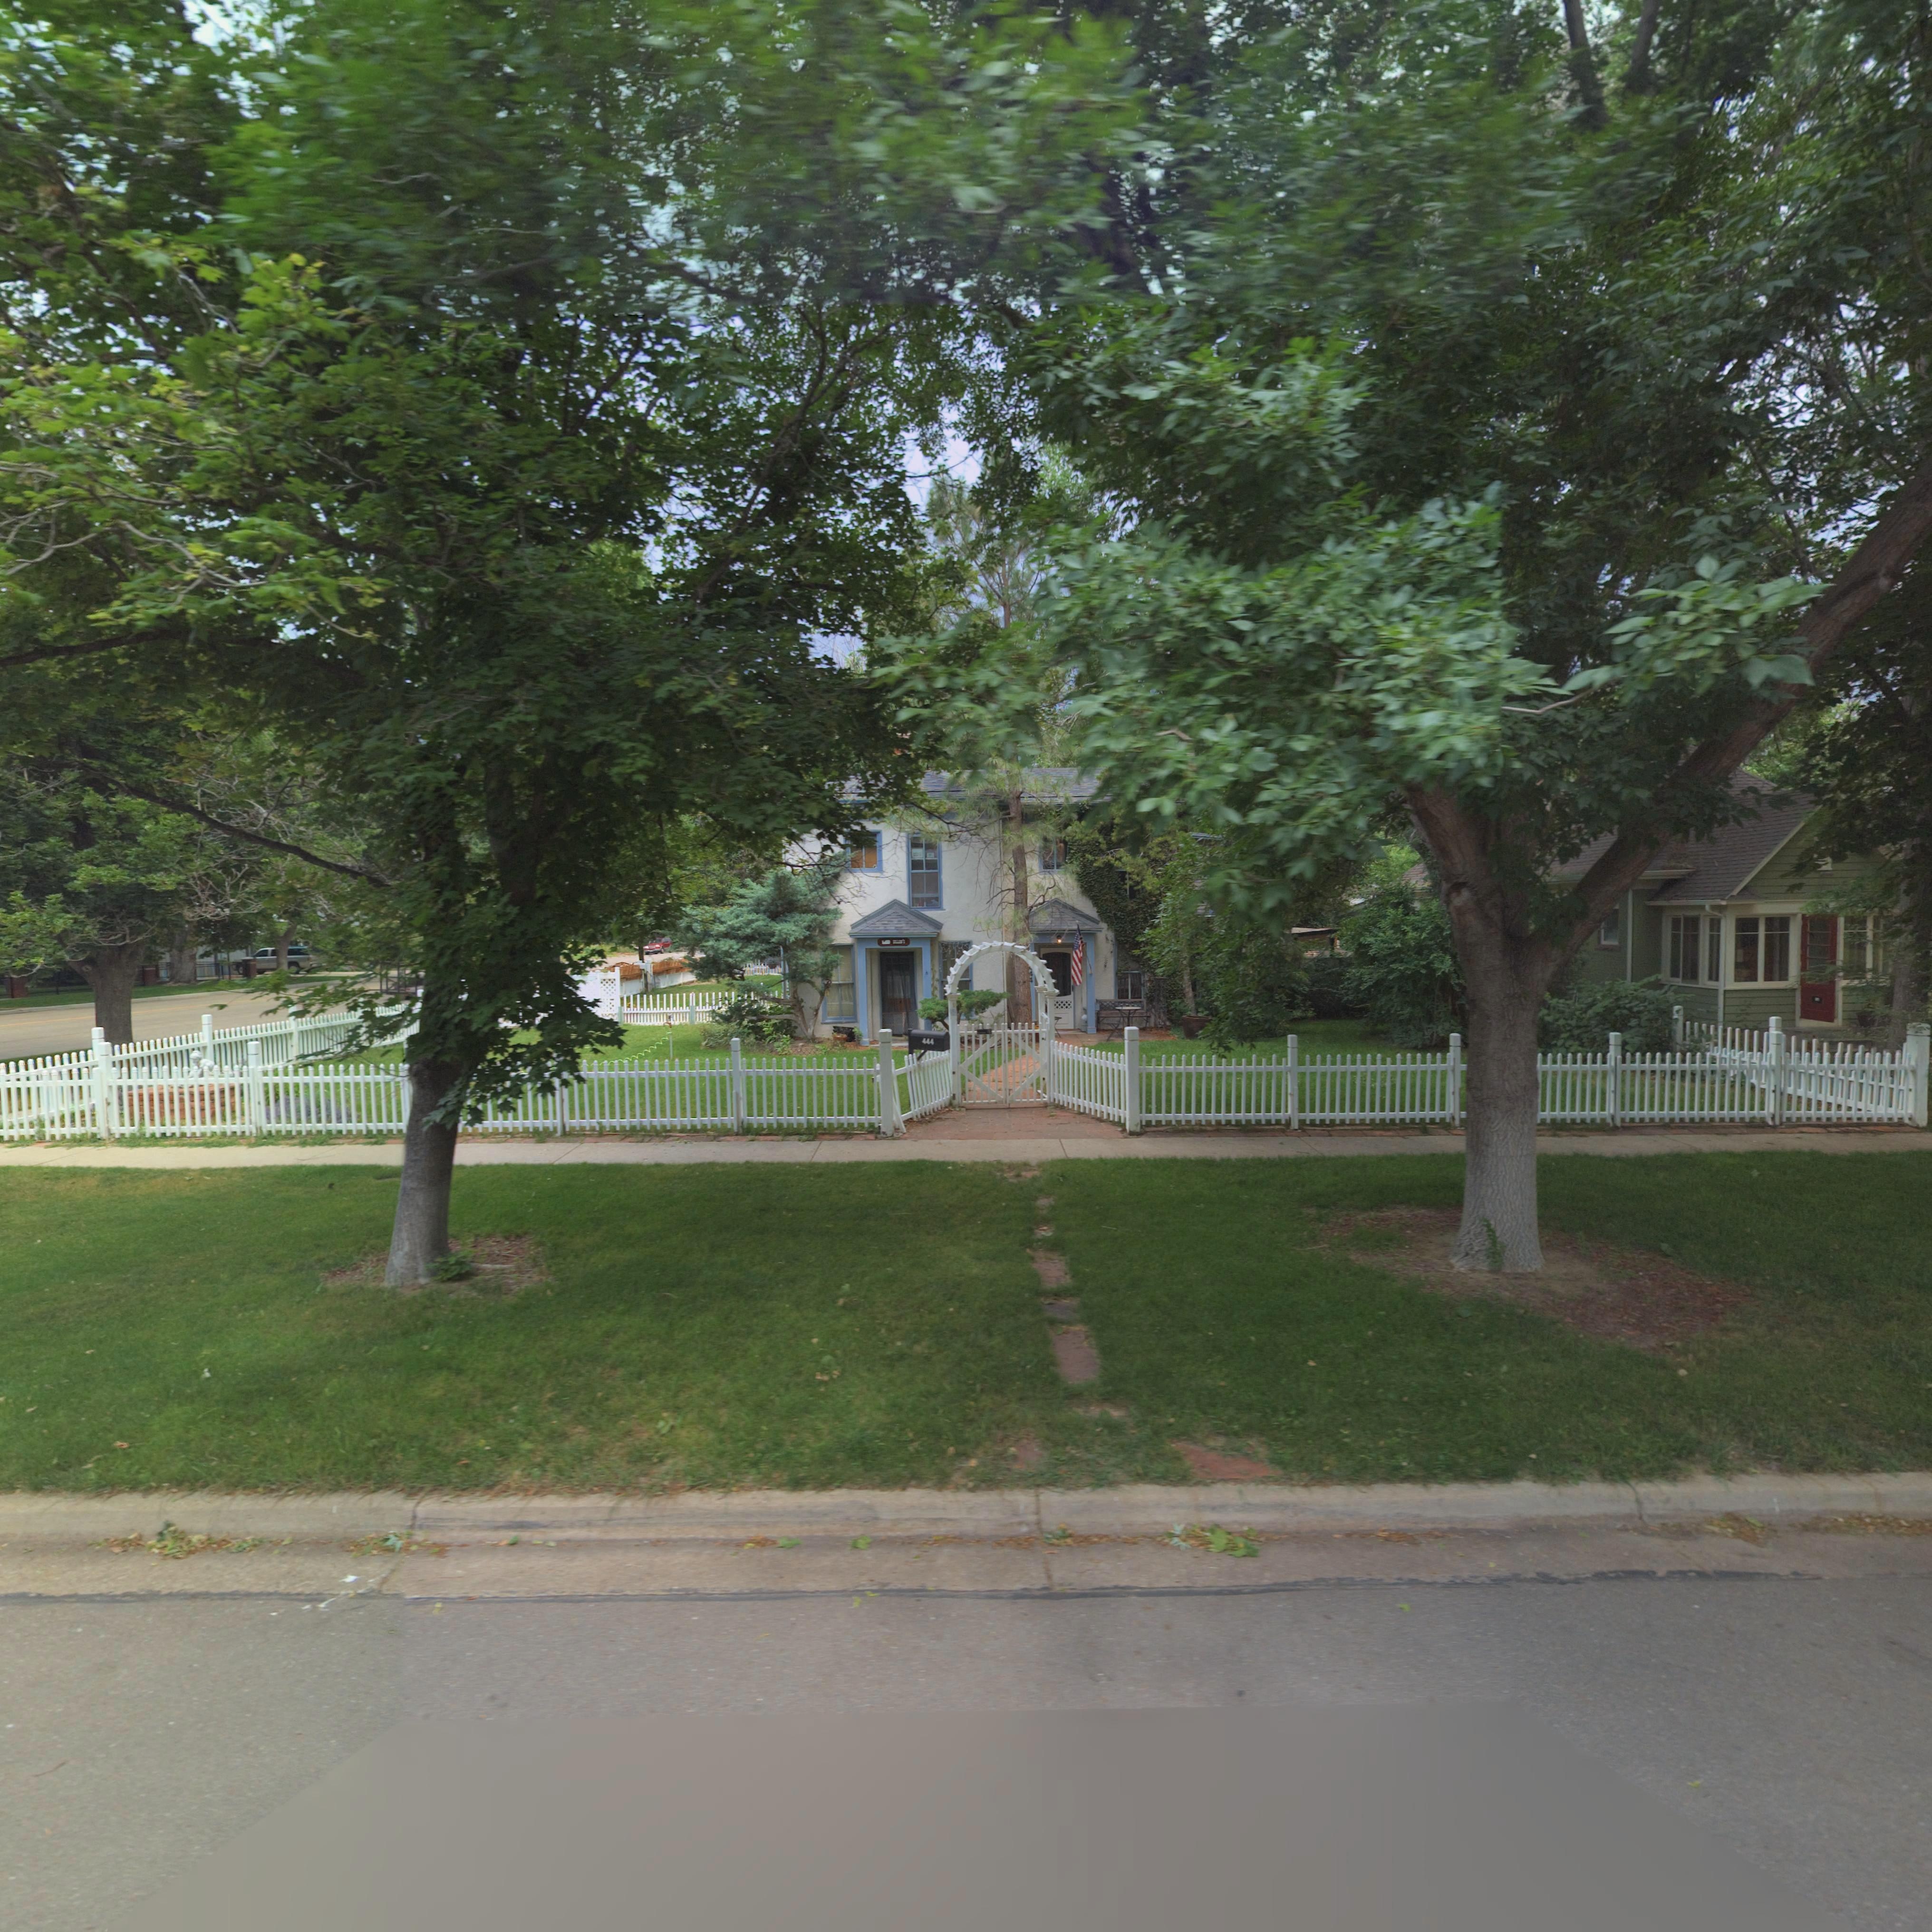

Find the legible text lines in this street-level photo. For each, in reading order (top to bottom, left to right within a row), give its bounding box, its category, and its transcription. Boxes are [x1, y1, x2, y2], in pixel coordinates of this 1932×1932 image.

[1028, 970, 1033, 984] StreetNumber: 44
[922, 1038, 934, 1045] StreetNumber: 444